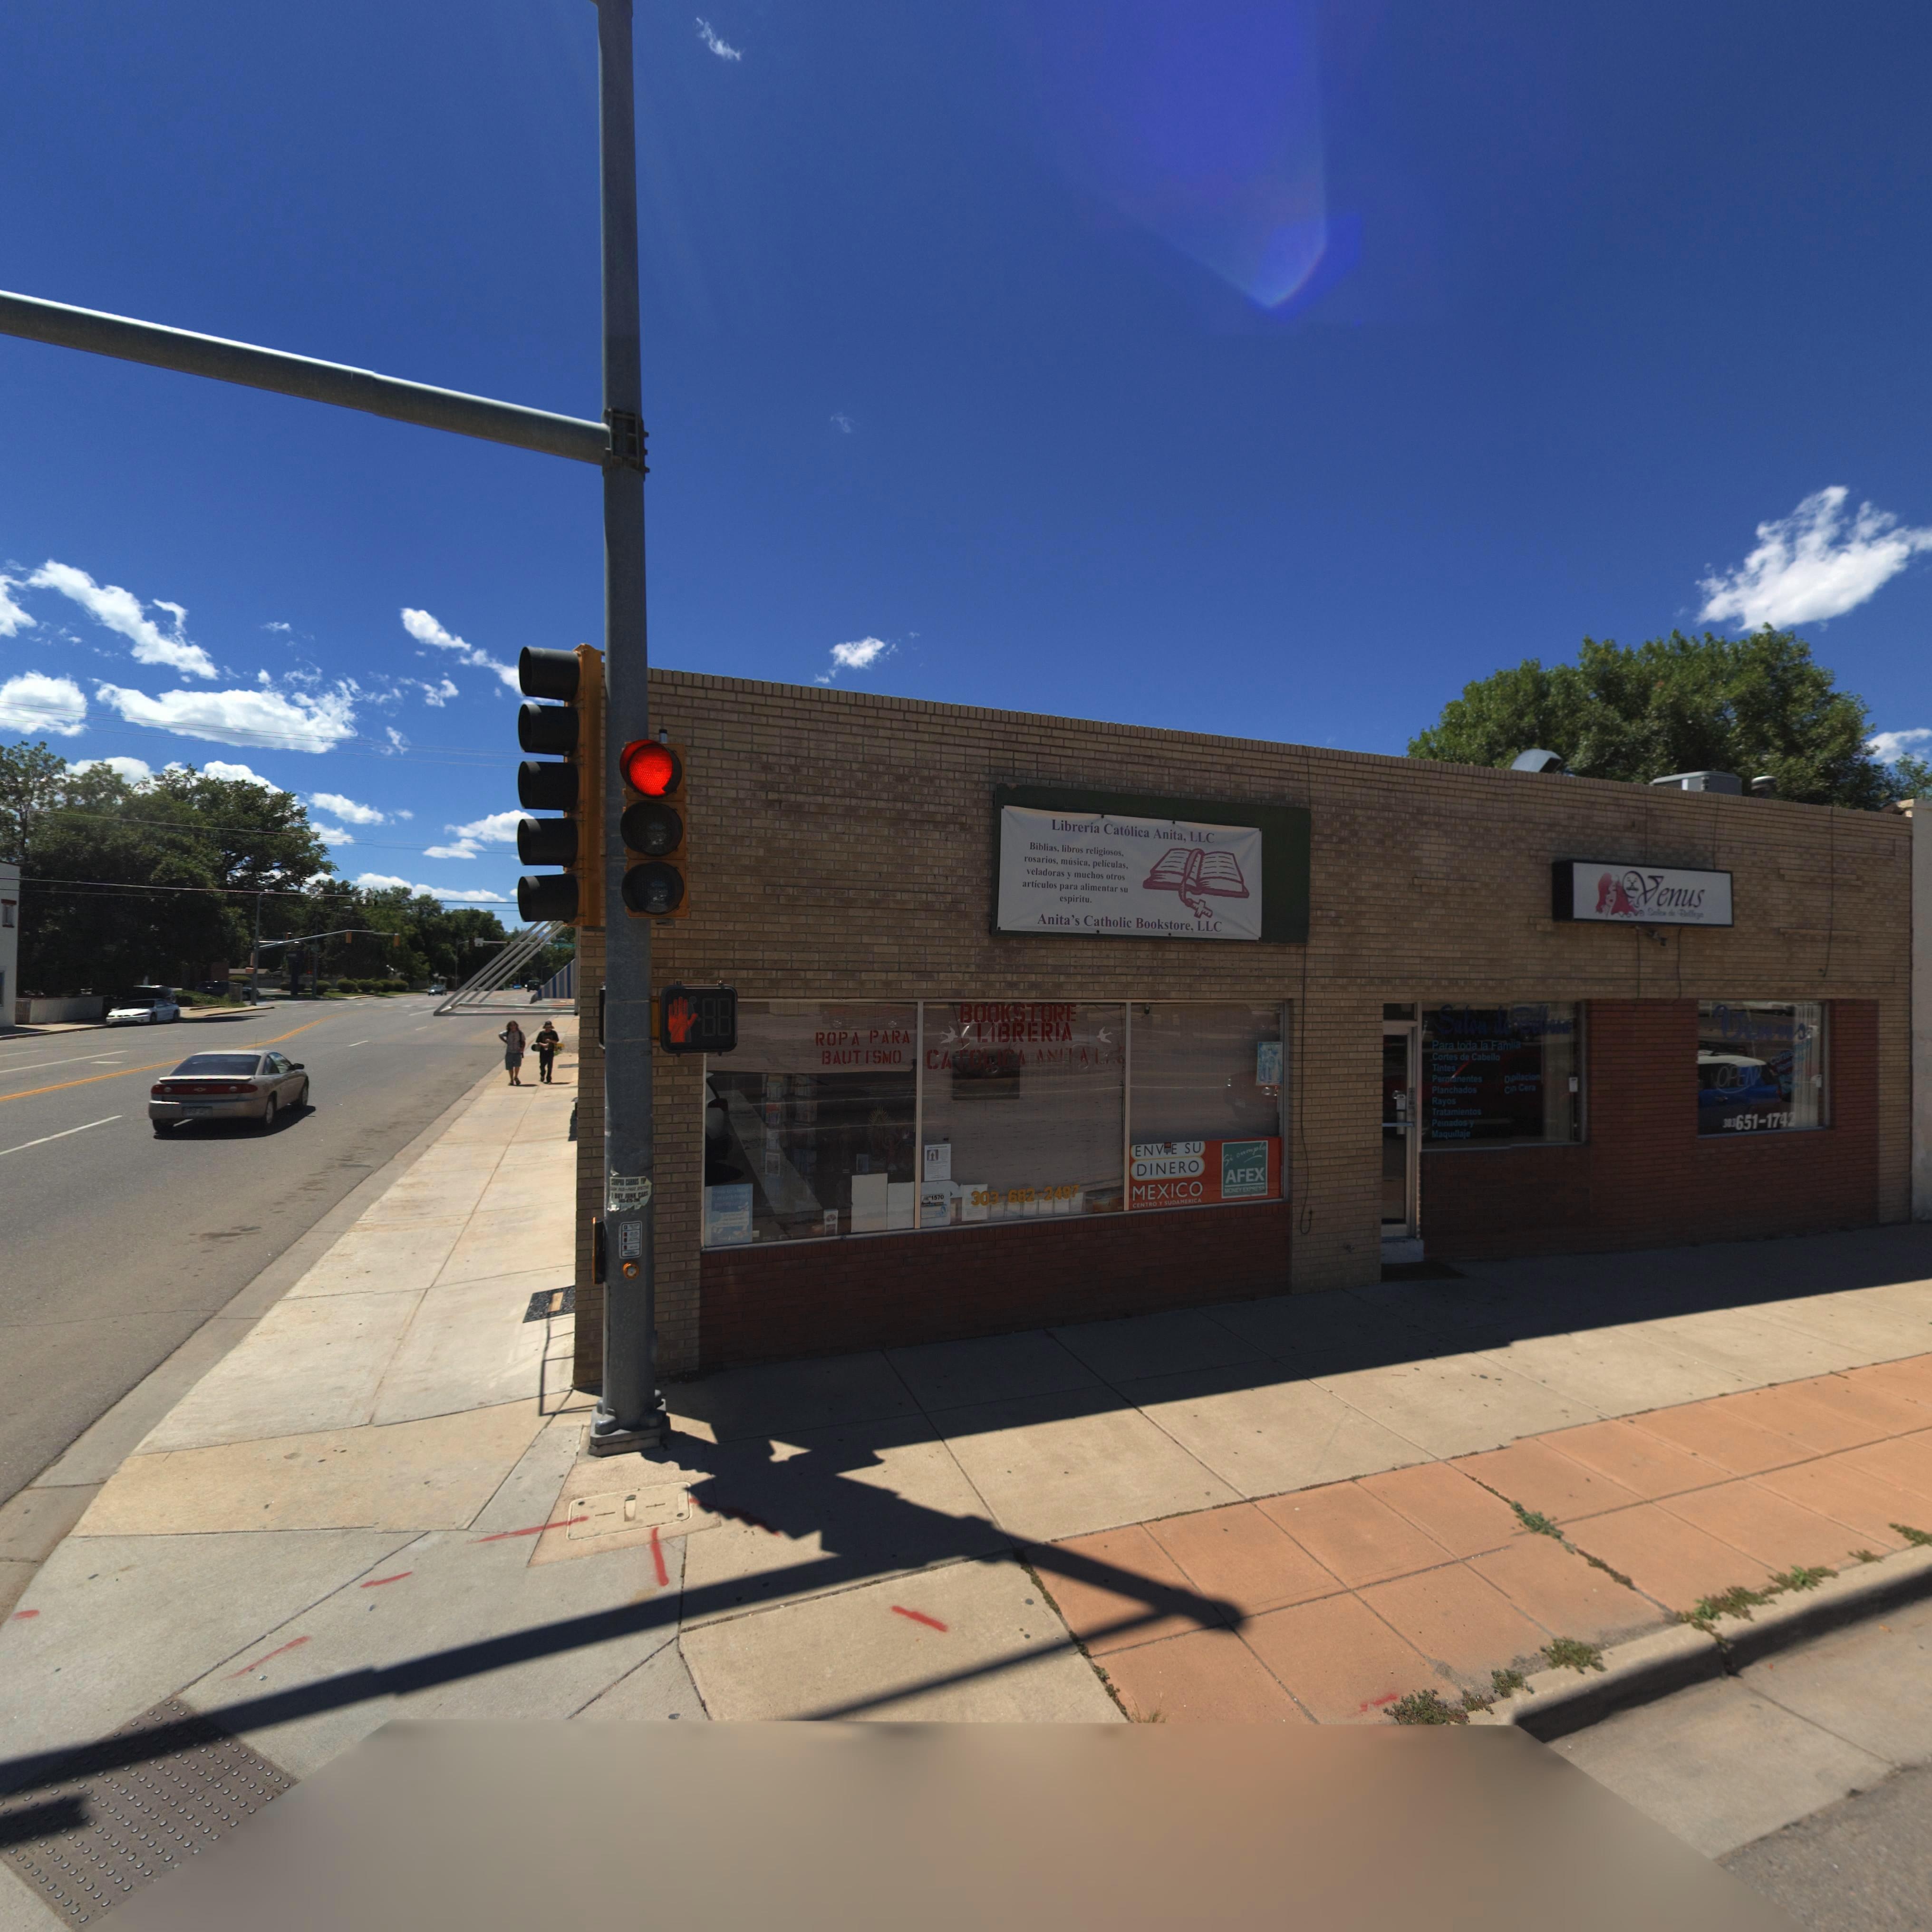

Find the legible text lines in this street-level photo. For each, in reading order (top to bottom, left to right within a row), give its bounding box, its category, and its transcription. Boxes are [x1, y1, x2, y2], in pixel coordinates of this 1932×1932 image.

[1051, 818, 1215, 843] BusinessName: Librer*a Cat*lica Anita, LLC
[1635, 873, 1705, 908] BusinessName: *enus
[1037, 912, 1223, 933] BusinessName: Anita's Catholic Bookstore, LLC
[1646, 907, 1704, 920] BusinessName: Sa*** de Be****a
[559, 943, 572, 947] StreetName: C****oo*
[959, 1003, 1077, 1023] BusinessName: BOOKSTORE
[976, 1022, 1073, 1043] BusinessName: LIBRERIA
[1431, 1002, 1573, 1039] BusinessName: Salon de B*****a
[1711, 1003, 1811, 1043] BusinessName: *enn*
[926, 1045, 1126, 1070] BusinessName: CATOLICA ****A ***